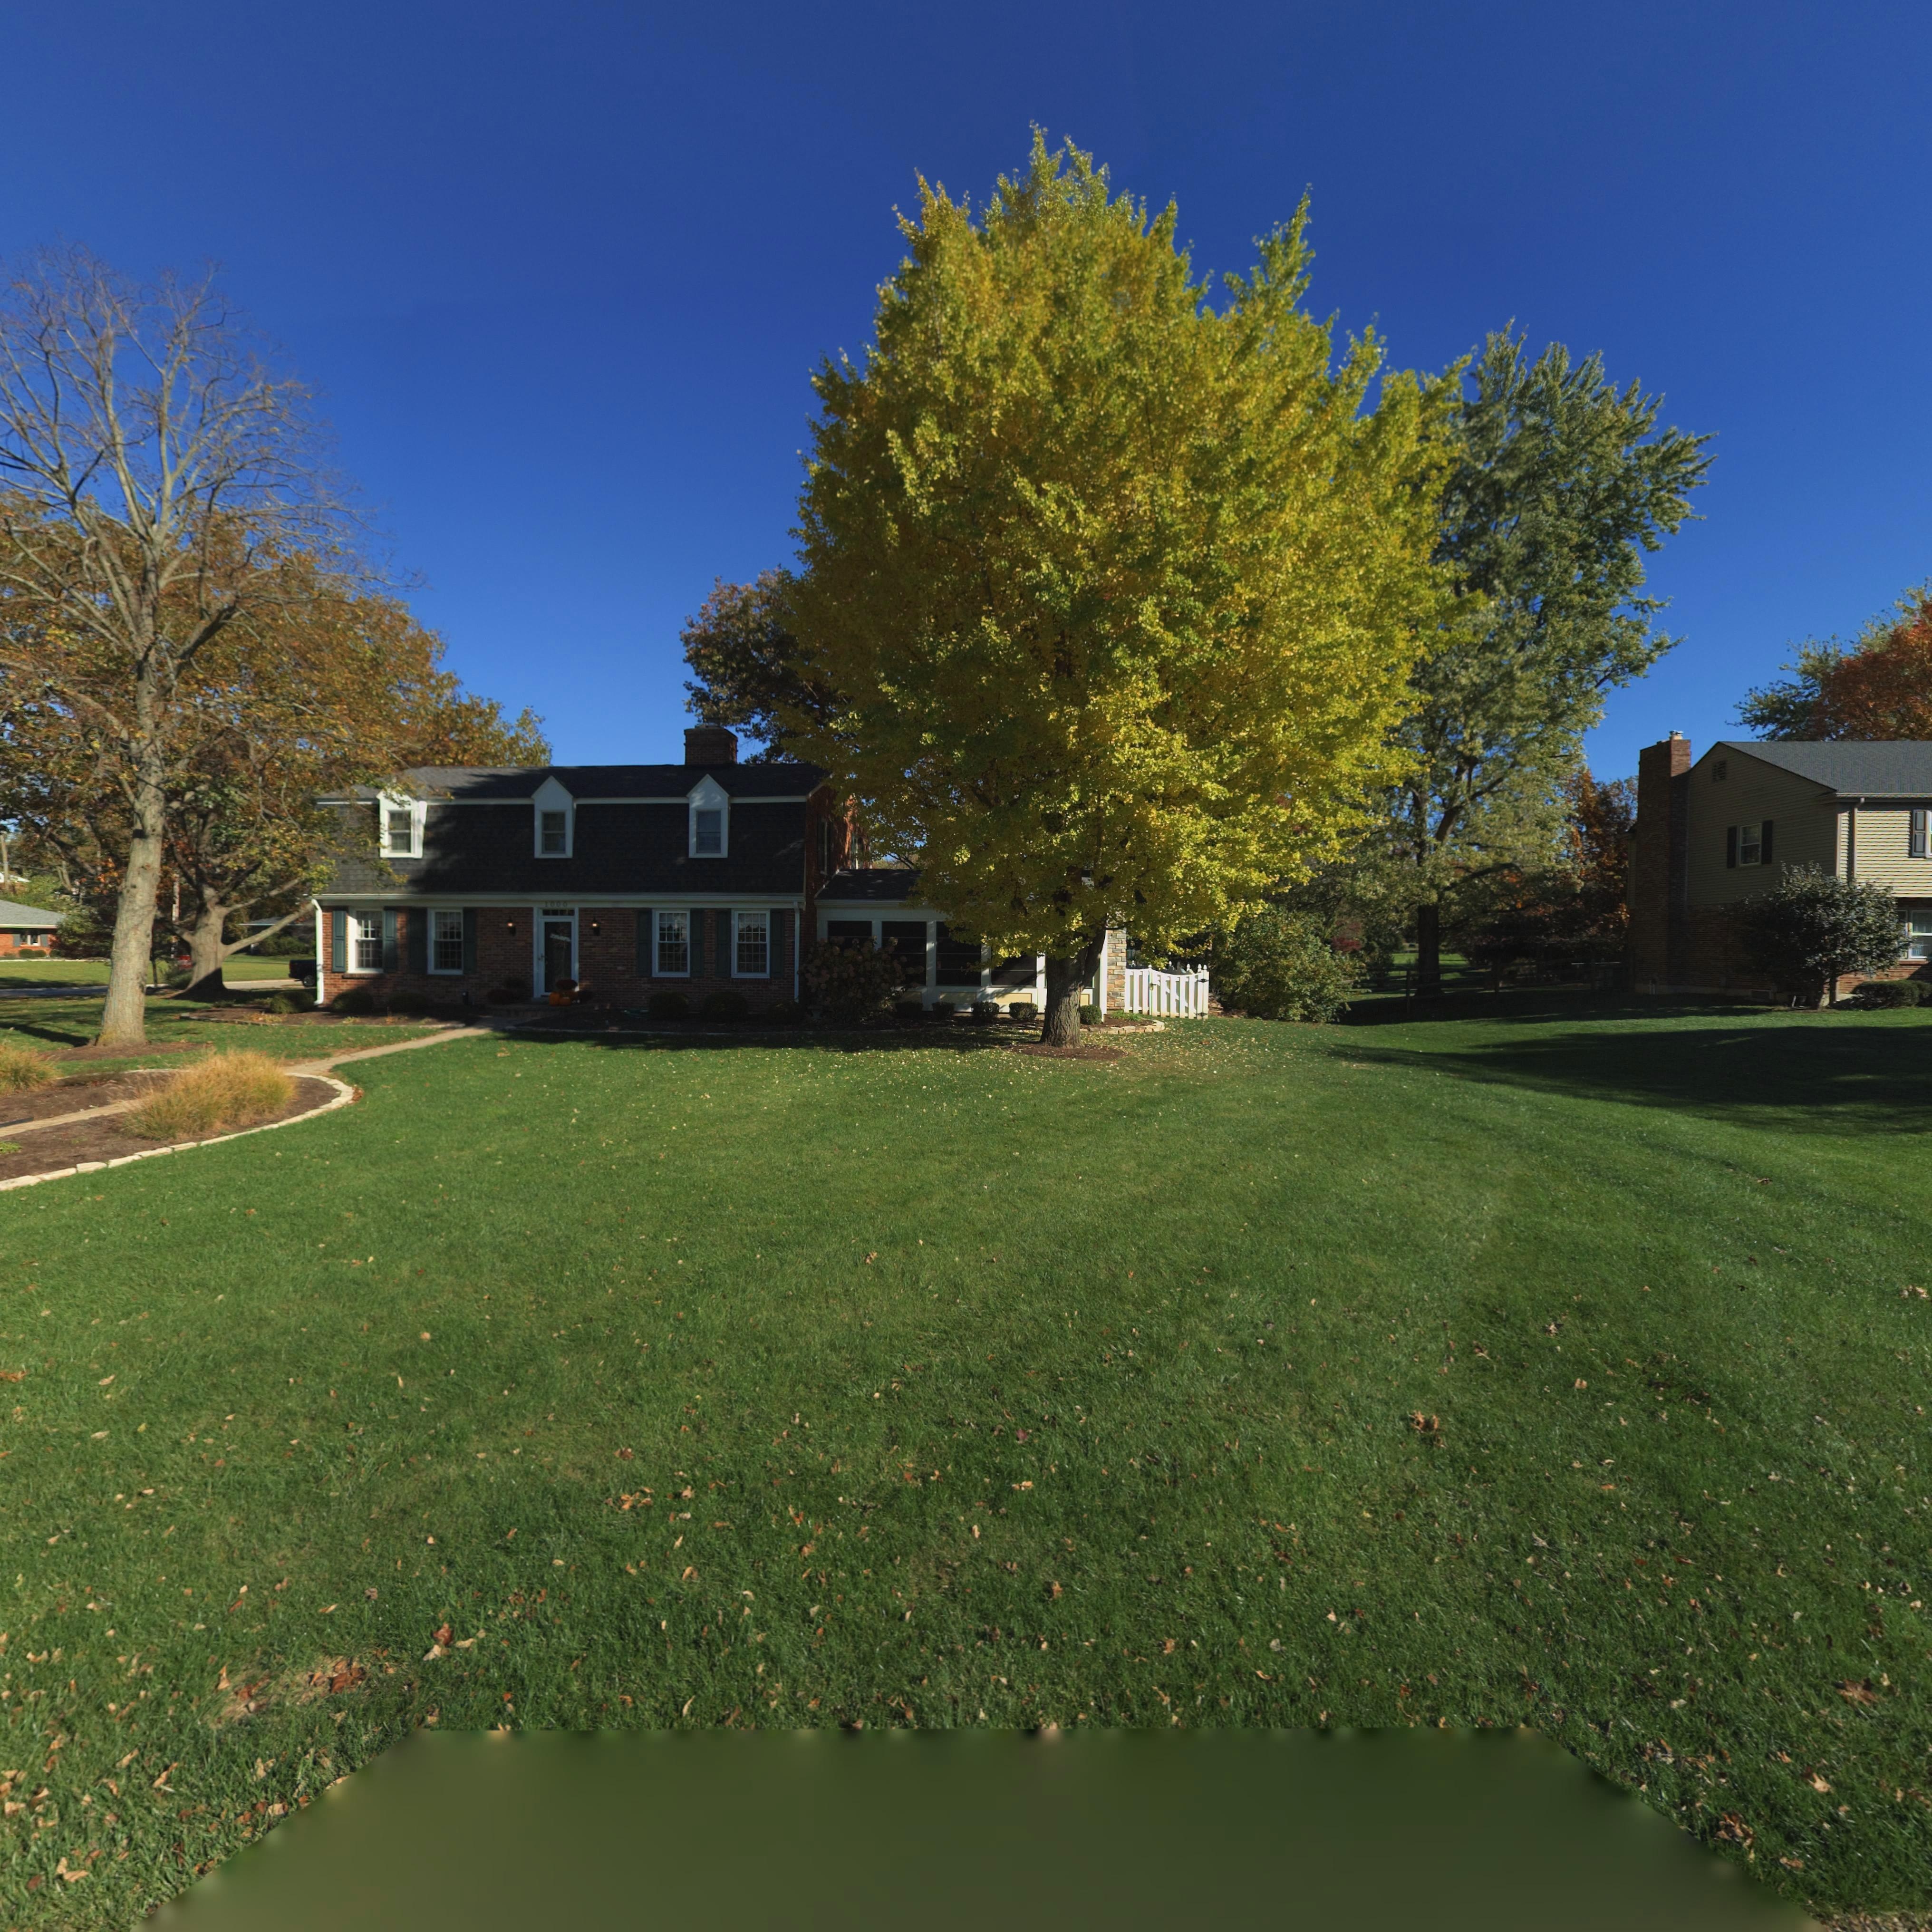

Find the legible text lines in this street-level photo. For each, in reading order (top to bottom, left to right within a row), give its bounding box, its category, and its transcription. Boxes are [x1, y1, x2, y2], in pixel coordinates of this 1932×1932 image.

[543, 900, 569, 909] StreetNumber: 1000